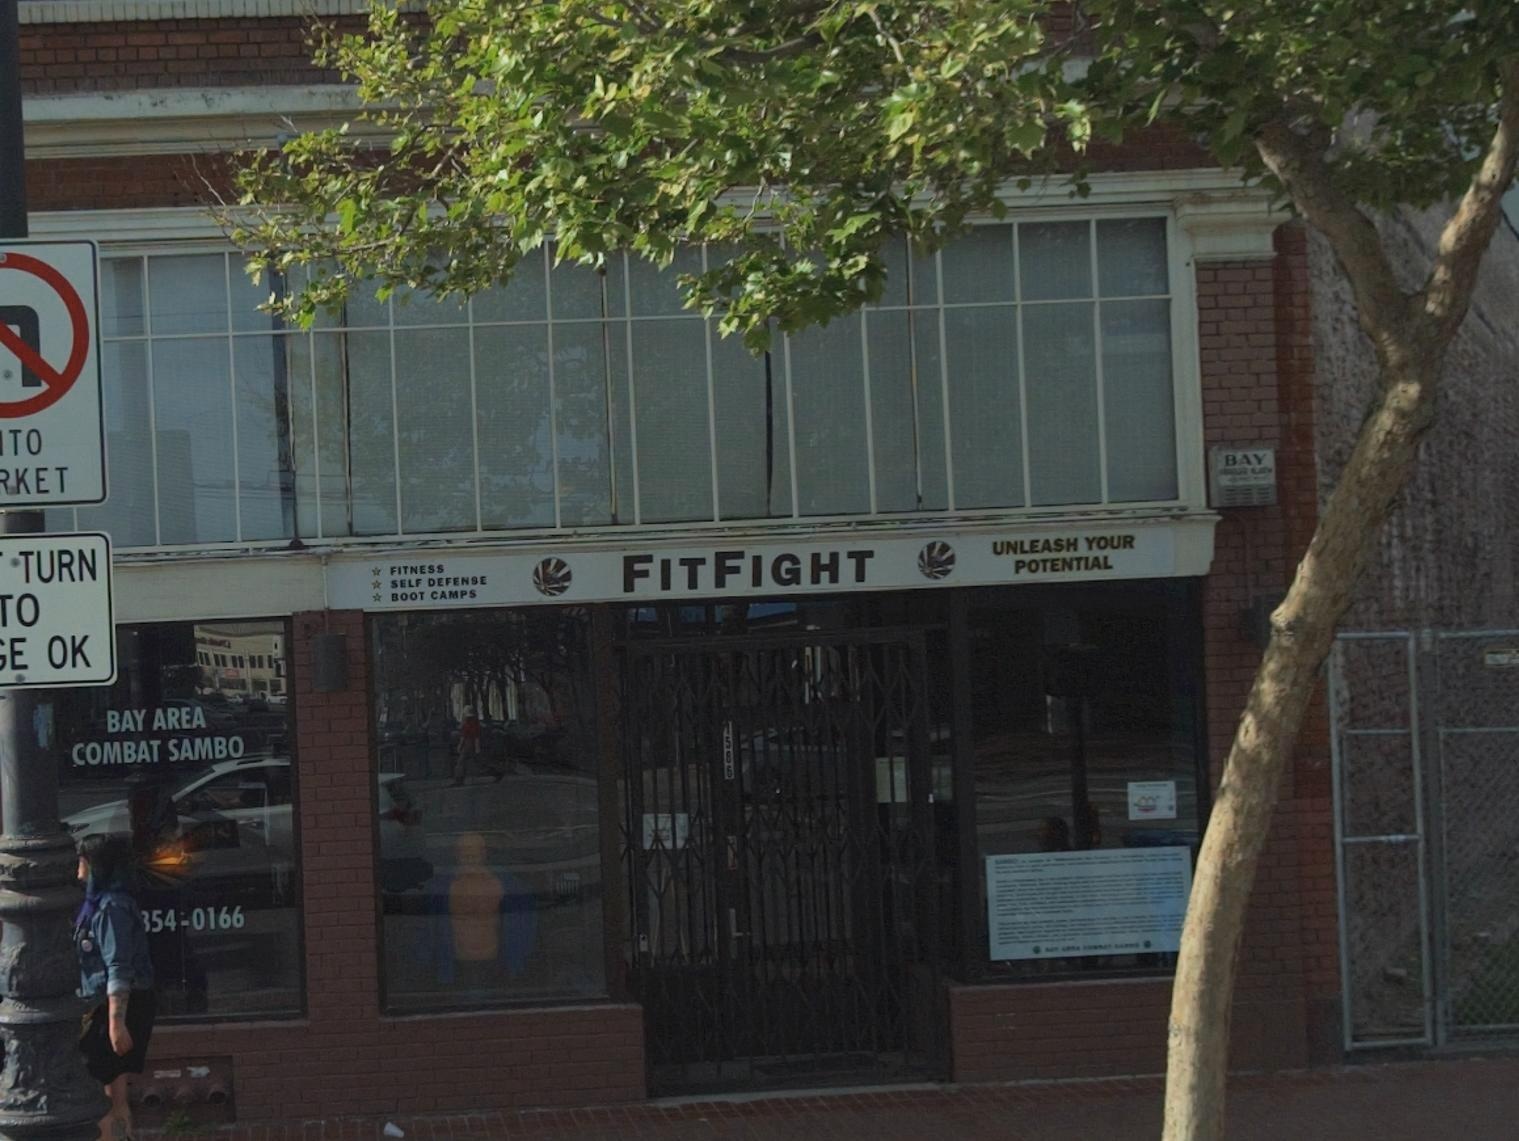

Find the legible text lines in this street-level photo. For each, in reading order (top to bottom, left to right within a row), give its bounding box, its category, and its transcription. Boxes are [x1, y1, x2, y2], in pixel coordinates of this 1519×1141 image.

[4, 424, 50, 460] None: TO
[1222, 450, 1271, 469] None: BAY
[11, 461, 74, 500] None: KET
[989, 531, 1140, 559] None: UNLEASH YOUR
[11, 589, 45, 633] None: O
[13, 544, 101, 588] None: TURN
[387, 561, 448, 578] None: FITNESS
[388, 586, 480, 605] None: BOOT CAMPS
[387, 572, 491, 591] None: SELF DEFENSE
[618, 543, 881, 599] BusinessName: FITFIGHT
[1010, 551, 1117, 577] None: POTENTIAL
[5, 630, 97, 675] None: E OK
[103, 701, 214, 737] None: BAY AREA
[66, 731, 249, 772] None: COMBAT SAMBO
[722, 720, 735, 780] StreetNumber: 1586
[148, 901, 250, 938] None: 54 * 0166